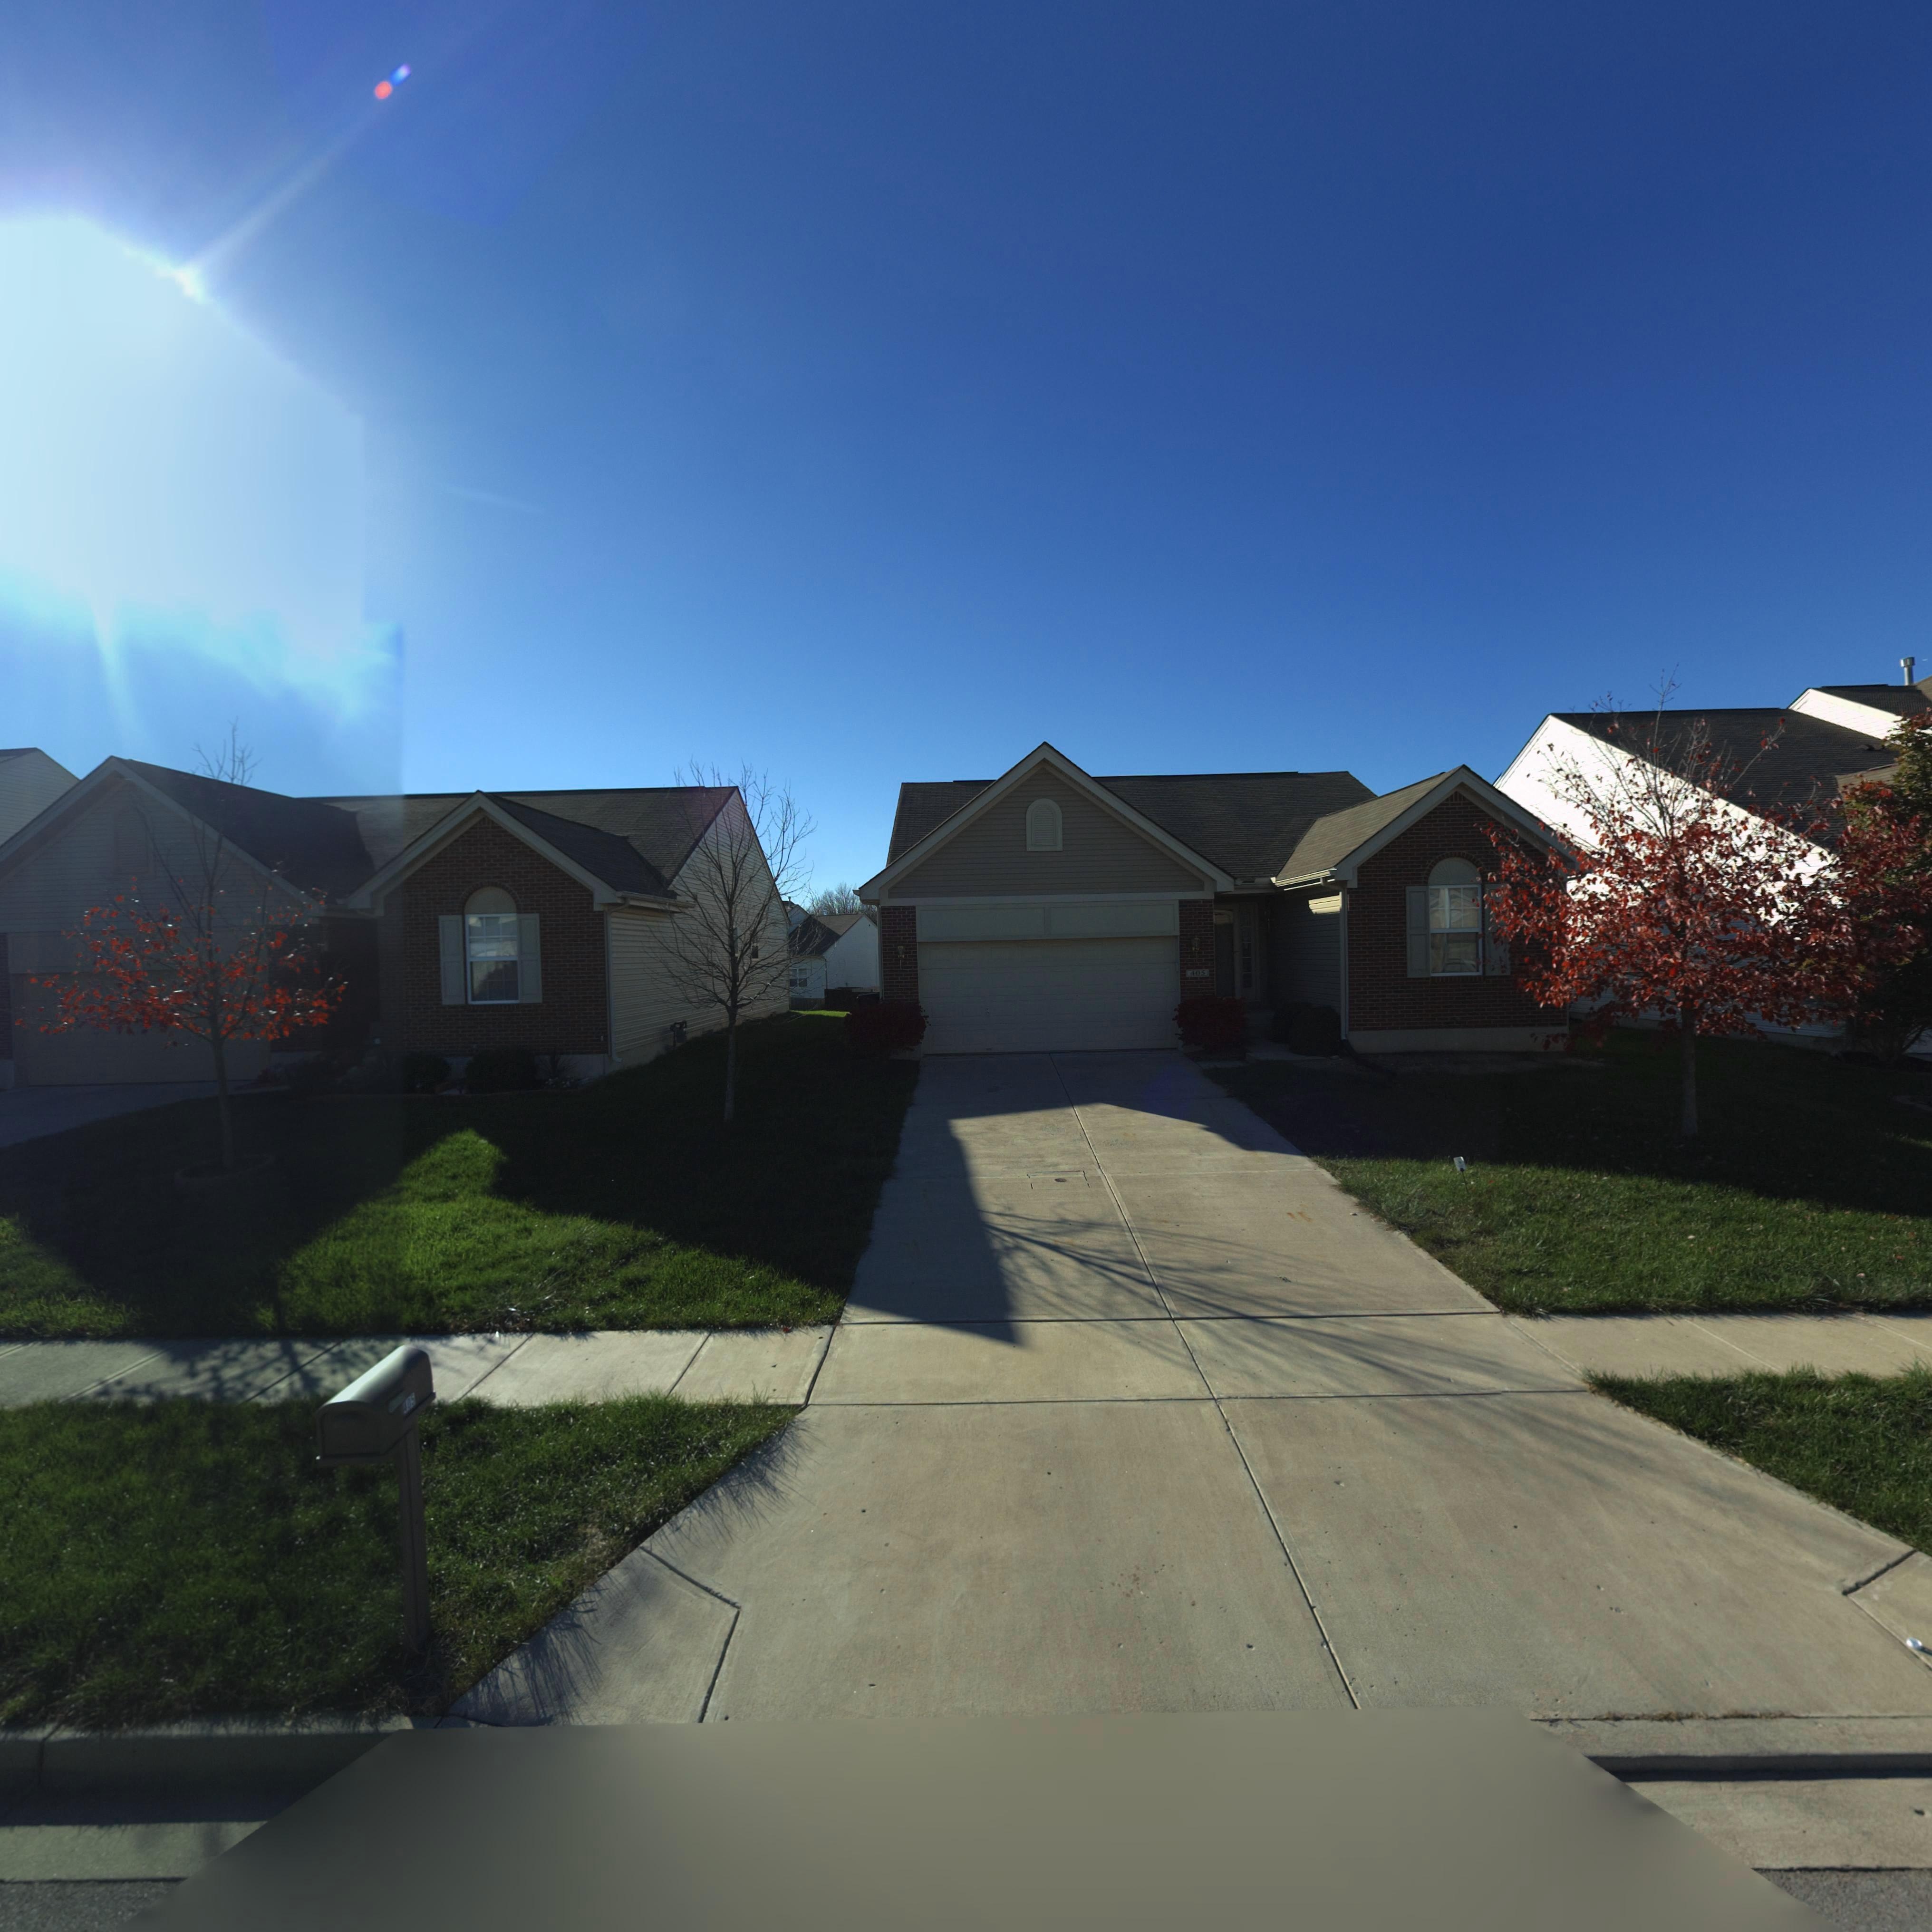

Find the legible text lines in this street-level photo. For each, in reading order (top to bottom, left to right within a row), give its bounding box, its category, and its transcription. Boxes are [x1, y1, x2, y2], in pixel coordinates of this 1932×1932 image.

[1189, 969, 1206, 976] StreetNumber: 405
[403, 1391, 415, 1413] StreetNumber: 405